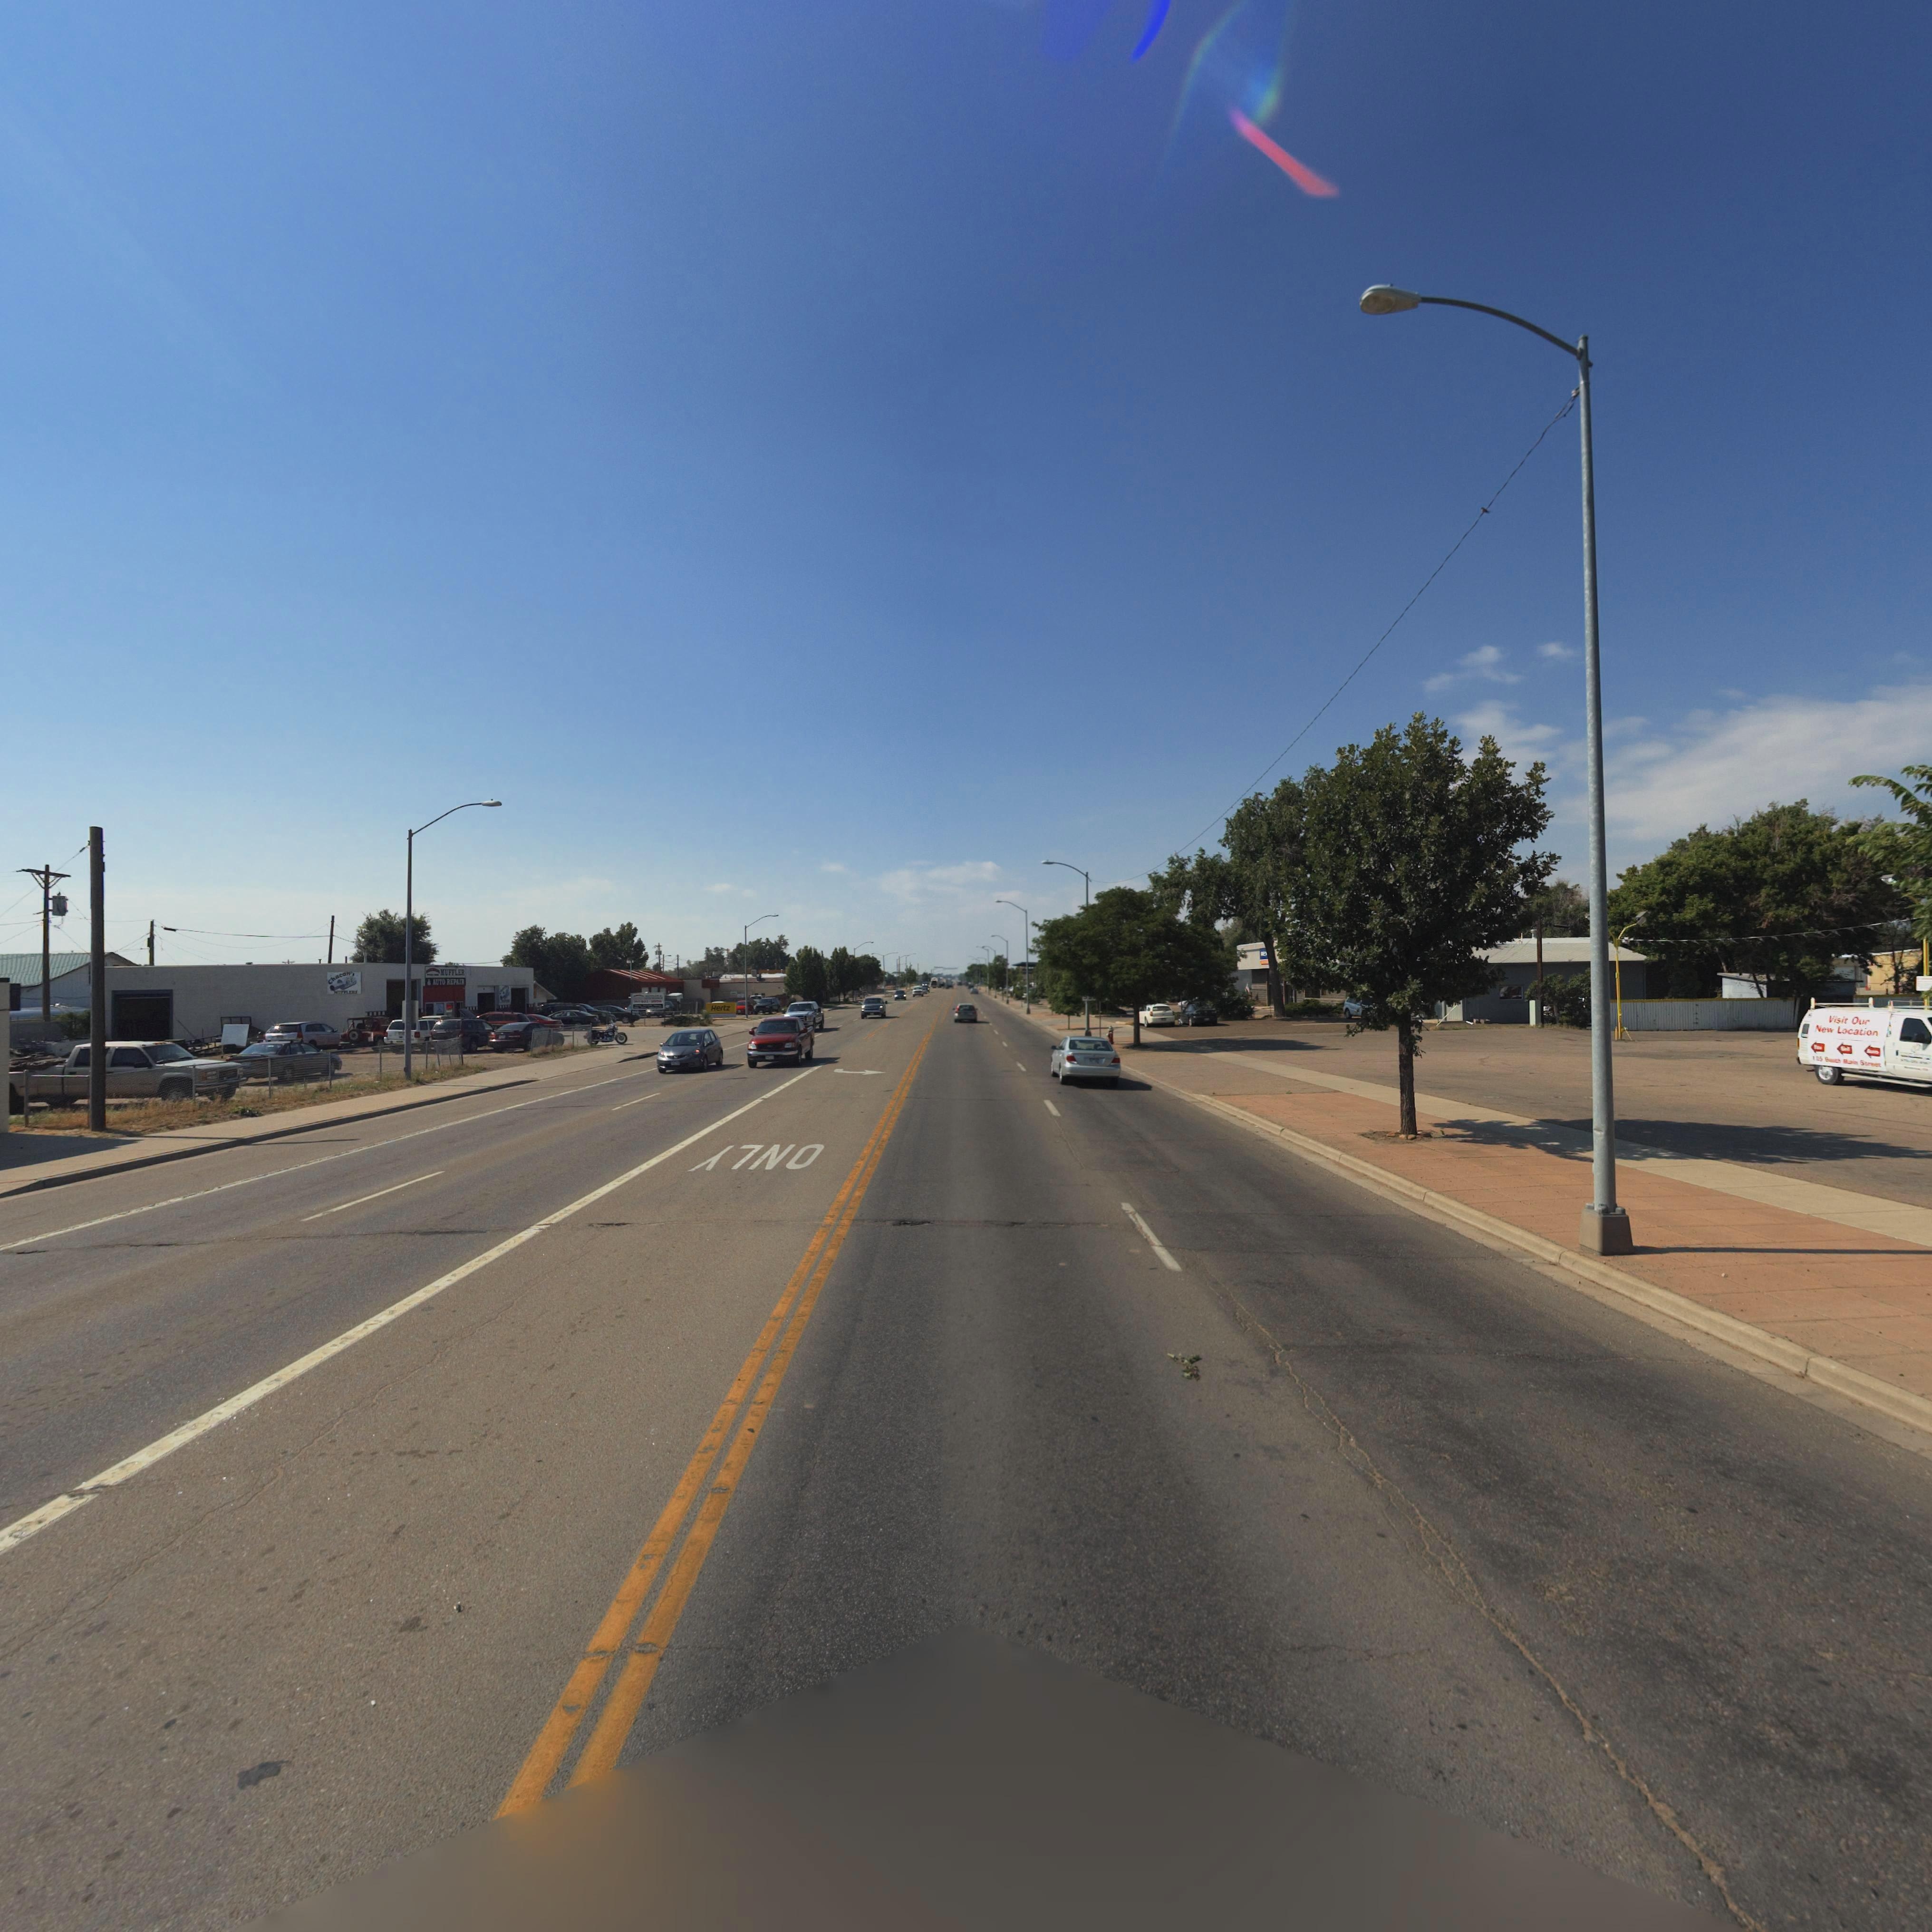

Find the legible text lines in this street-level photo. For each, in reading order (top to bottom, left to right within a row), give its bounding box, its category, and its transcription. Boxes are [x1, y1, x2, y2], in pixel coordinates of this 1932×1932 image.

[440, 968, 464, 976] BusinessName: MUFFLER
[711, 1005, 731, 1011] BusinessName: Hertz